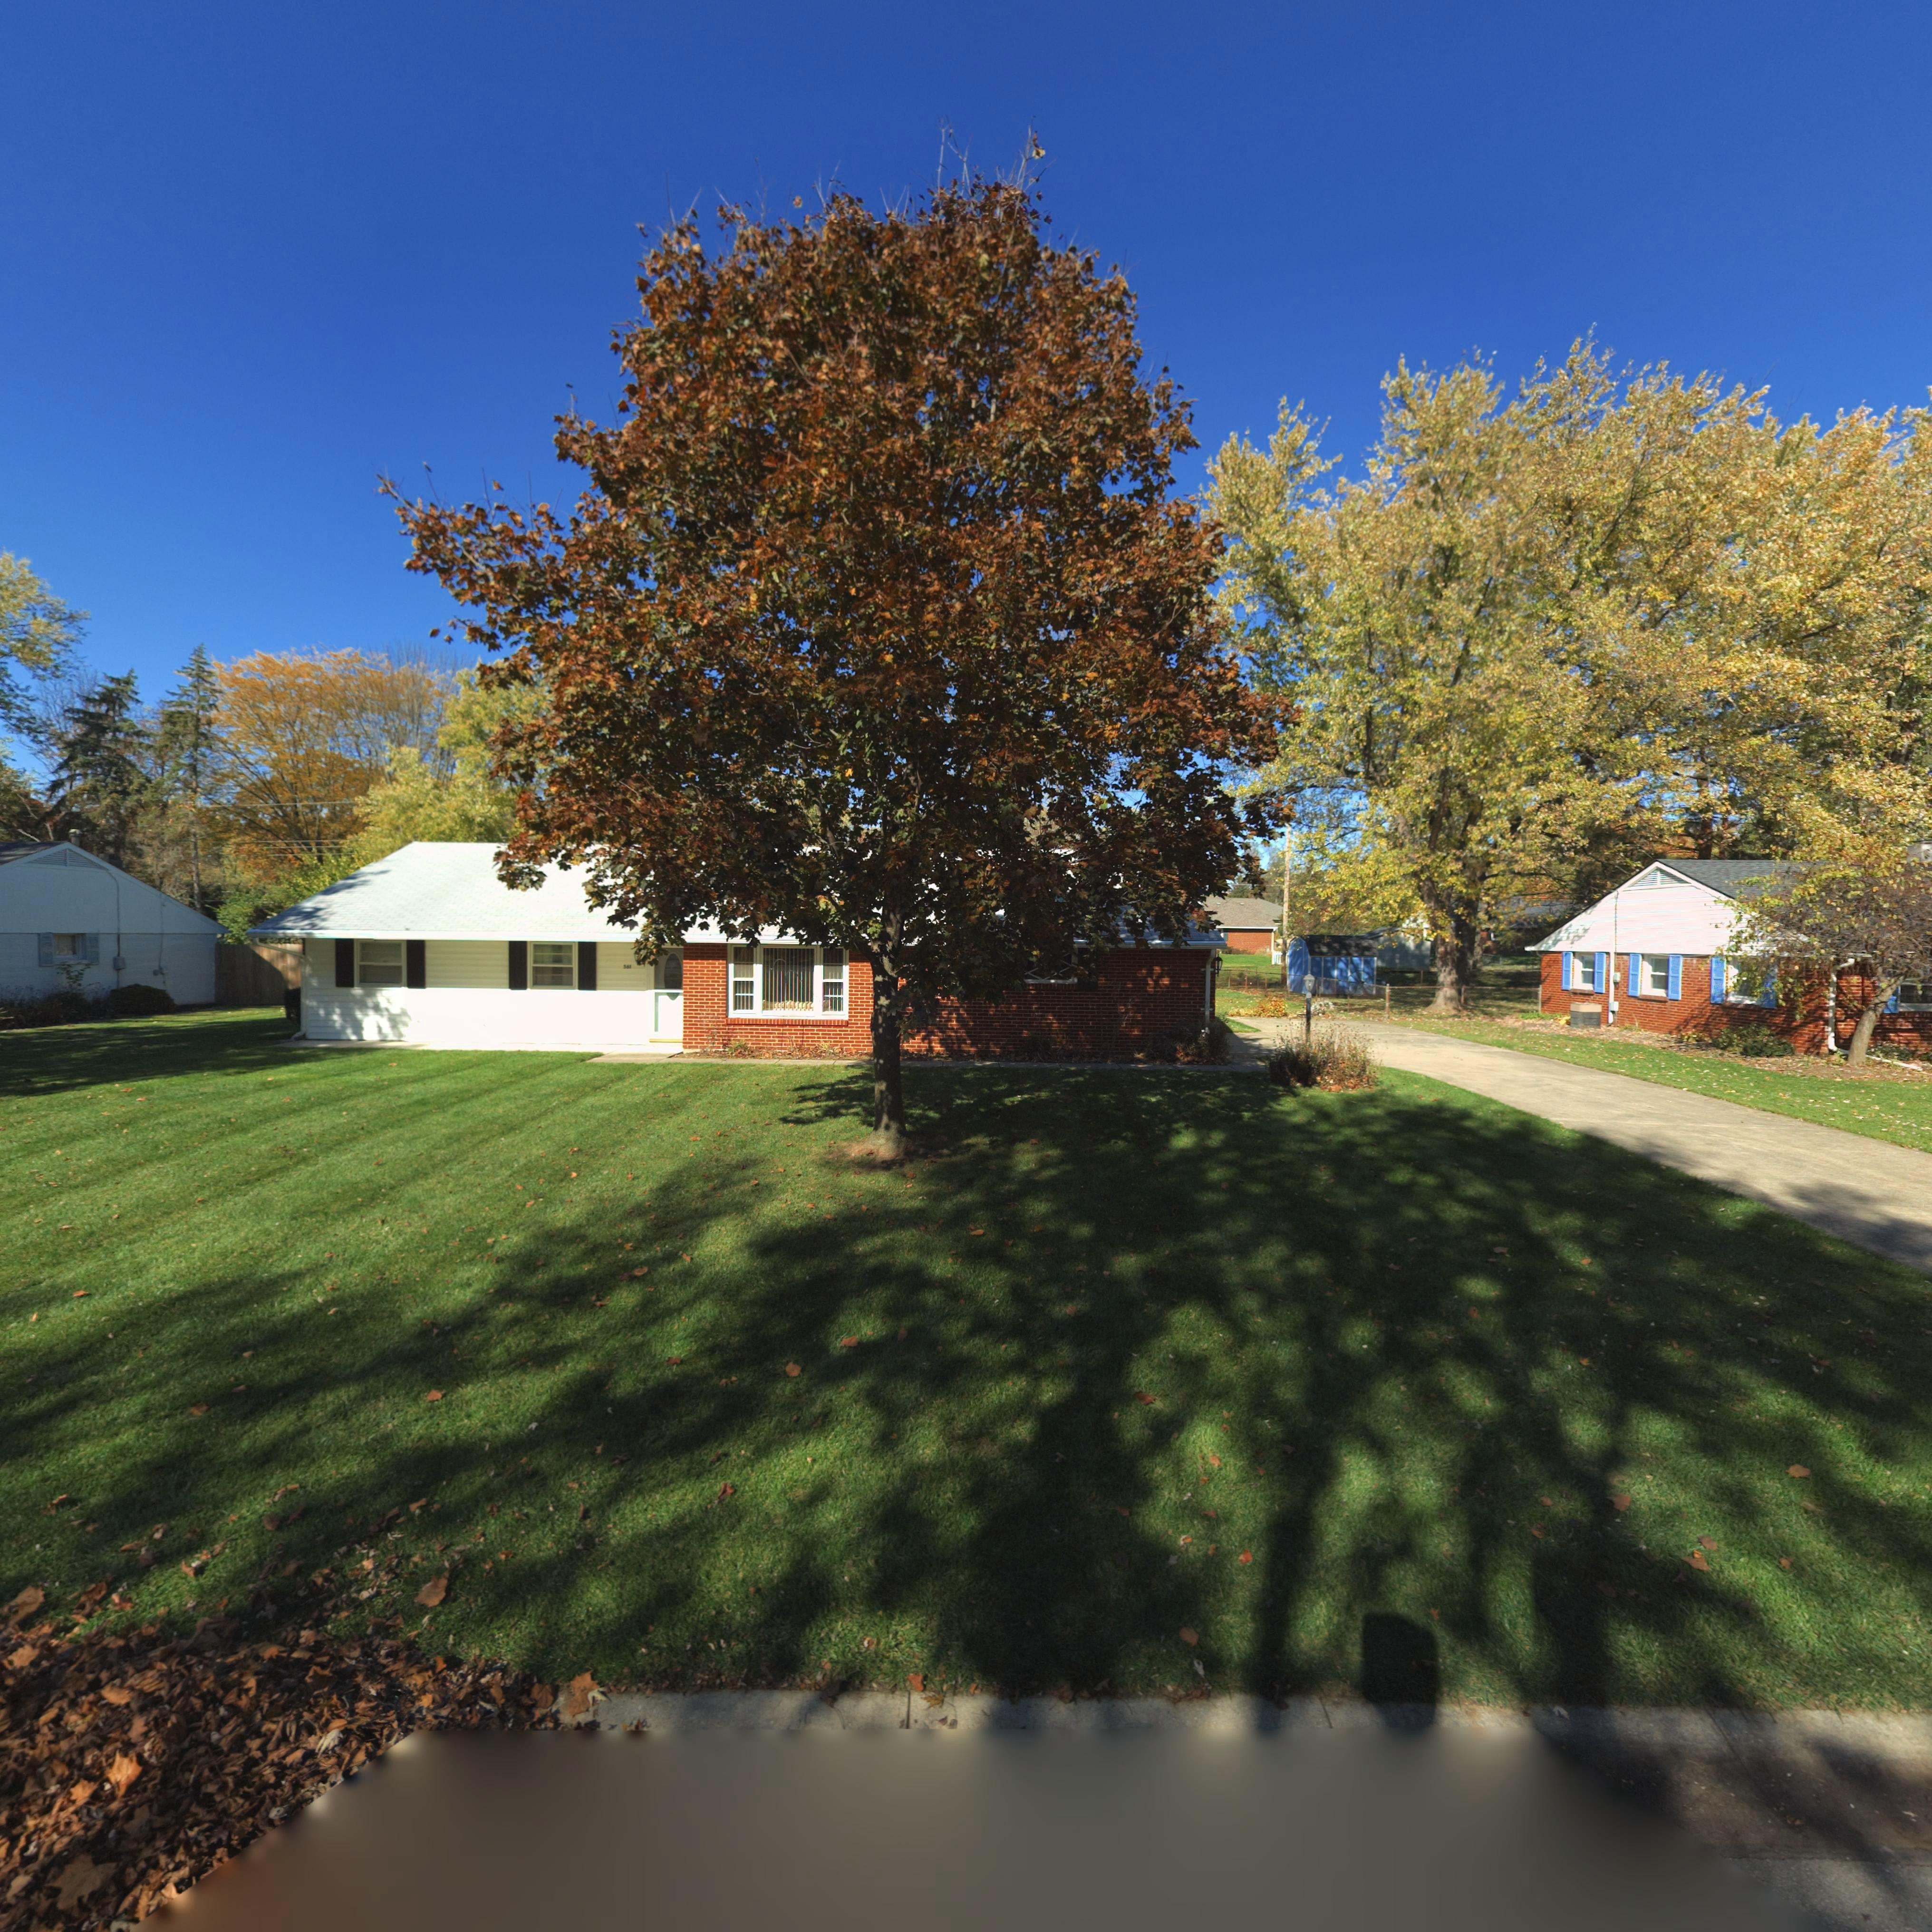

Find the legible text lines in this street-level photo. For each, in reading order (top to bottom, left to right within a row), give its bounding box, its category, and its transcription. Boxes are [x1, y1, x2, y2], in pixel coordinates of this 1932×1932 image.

[623, 964, 631, 969] StreetNumber: 561